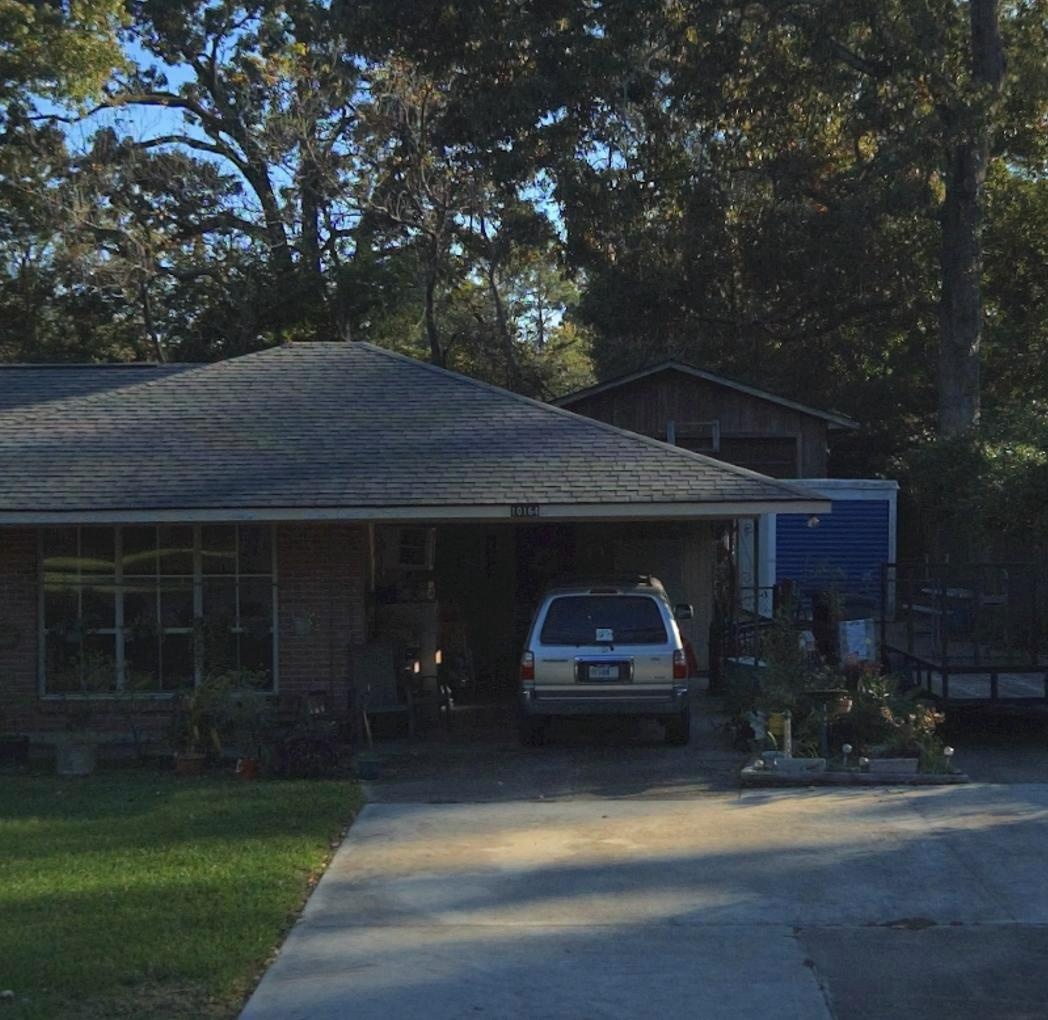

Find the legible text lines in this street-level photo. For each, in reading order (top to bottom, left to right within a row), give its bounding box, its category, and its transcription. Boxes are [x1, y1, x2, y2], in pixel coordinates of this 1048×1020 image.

[511, 506, 539, 517] StreetNumber: 10164